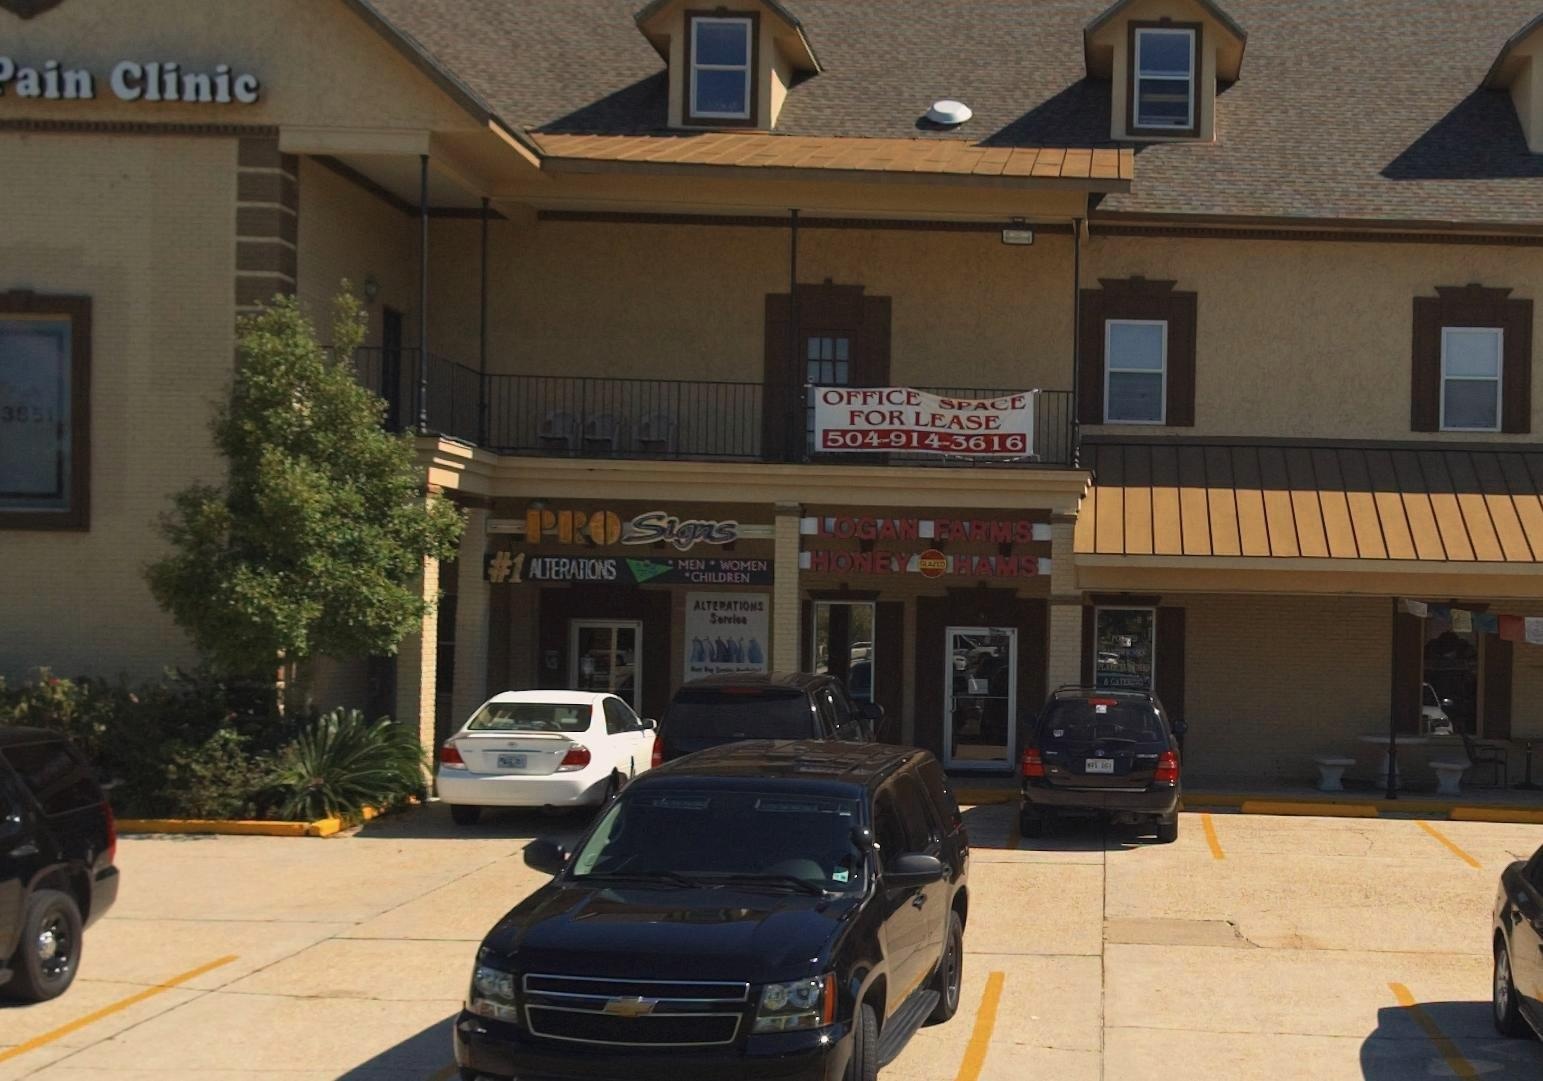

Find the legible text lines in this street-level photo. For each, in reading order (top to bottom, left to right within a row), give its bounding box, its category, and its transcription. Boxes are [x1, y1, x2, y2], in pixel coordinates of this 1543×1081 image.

[14, 56, 263, 108] BusinessName: ain Clinic
[821, 387, 1028, 413] None: OFFICE SPA**
[847, 407, 1004, 432] None: FOR LEASE
[824, 428, 1025, 453] None: 504-914-3616
[524, 506, 741, 554] BusinessName: PRO Signs
[815, 512, 1036, 546] BusinessName: Logan Farms
[505, 549, 619, 585] None: 1 ALTERATIONS
[689, 570, 752, 585] None: CHILDREN
[677, 558, 769, 572] None: MEN*WOMEN
[808, 546, 1042, 581] BusinessName: HONEY HAMS
[690, 598, 765, 613] None: ALTERATIONS
[707, 611, 749, 626] None: Service